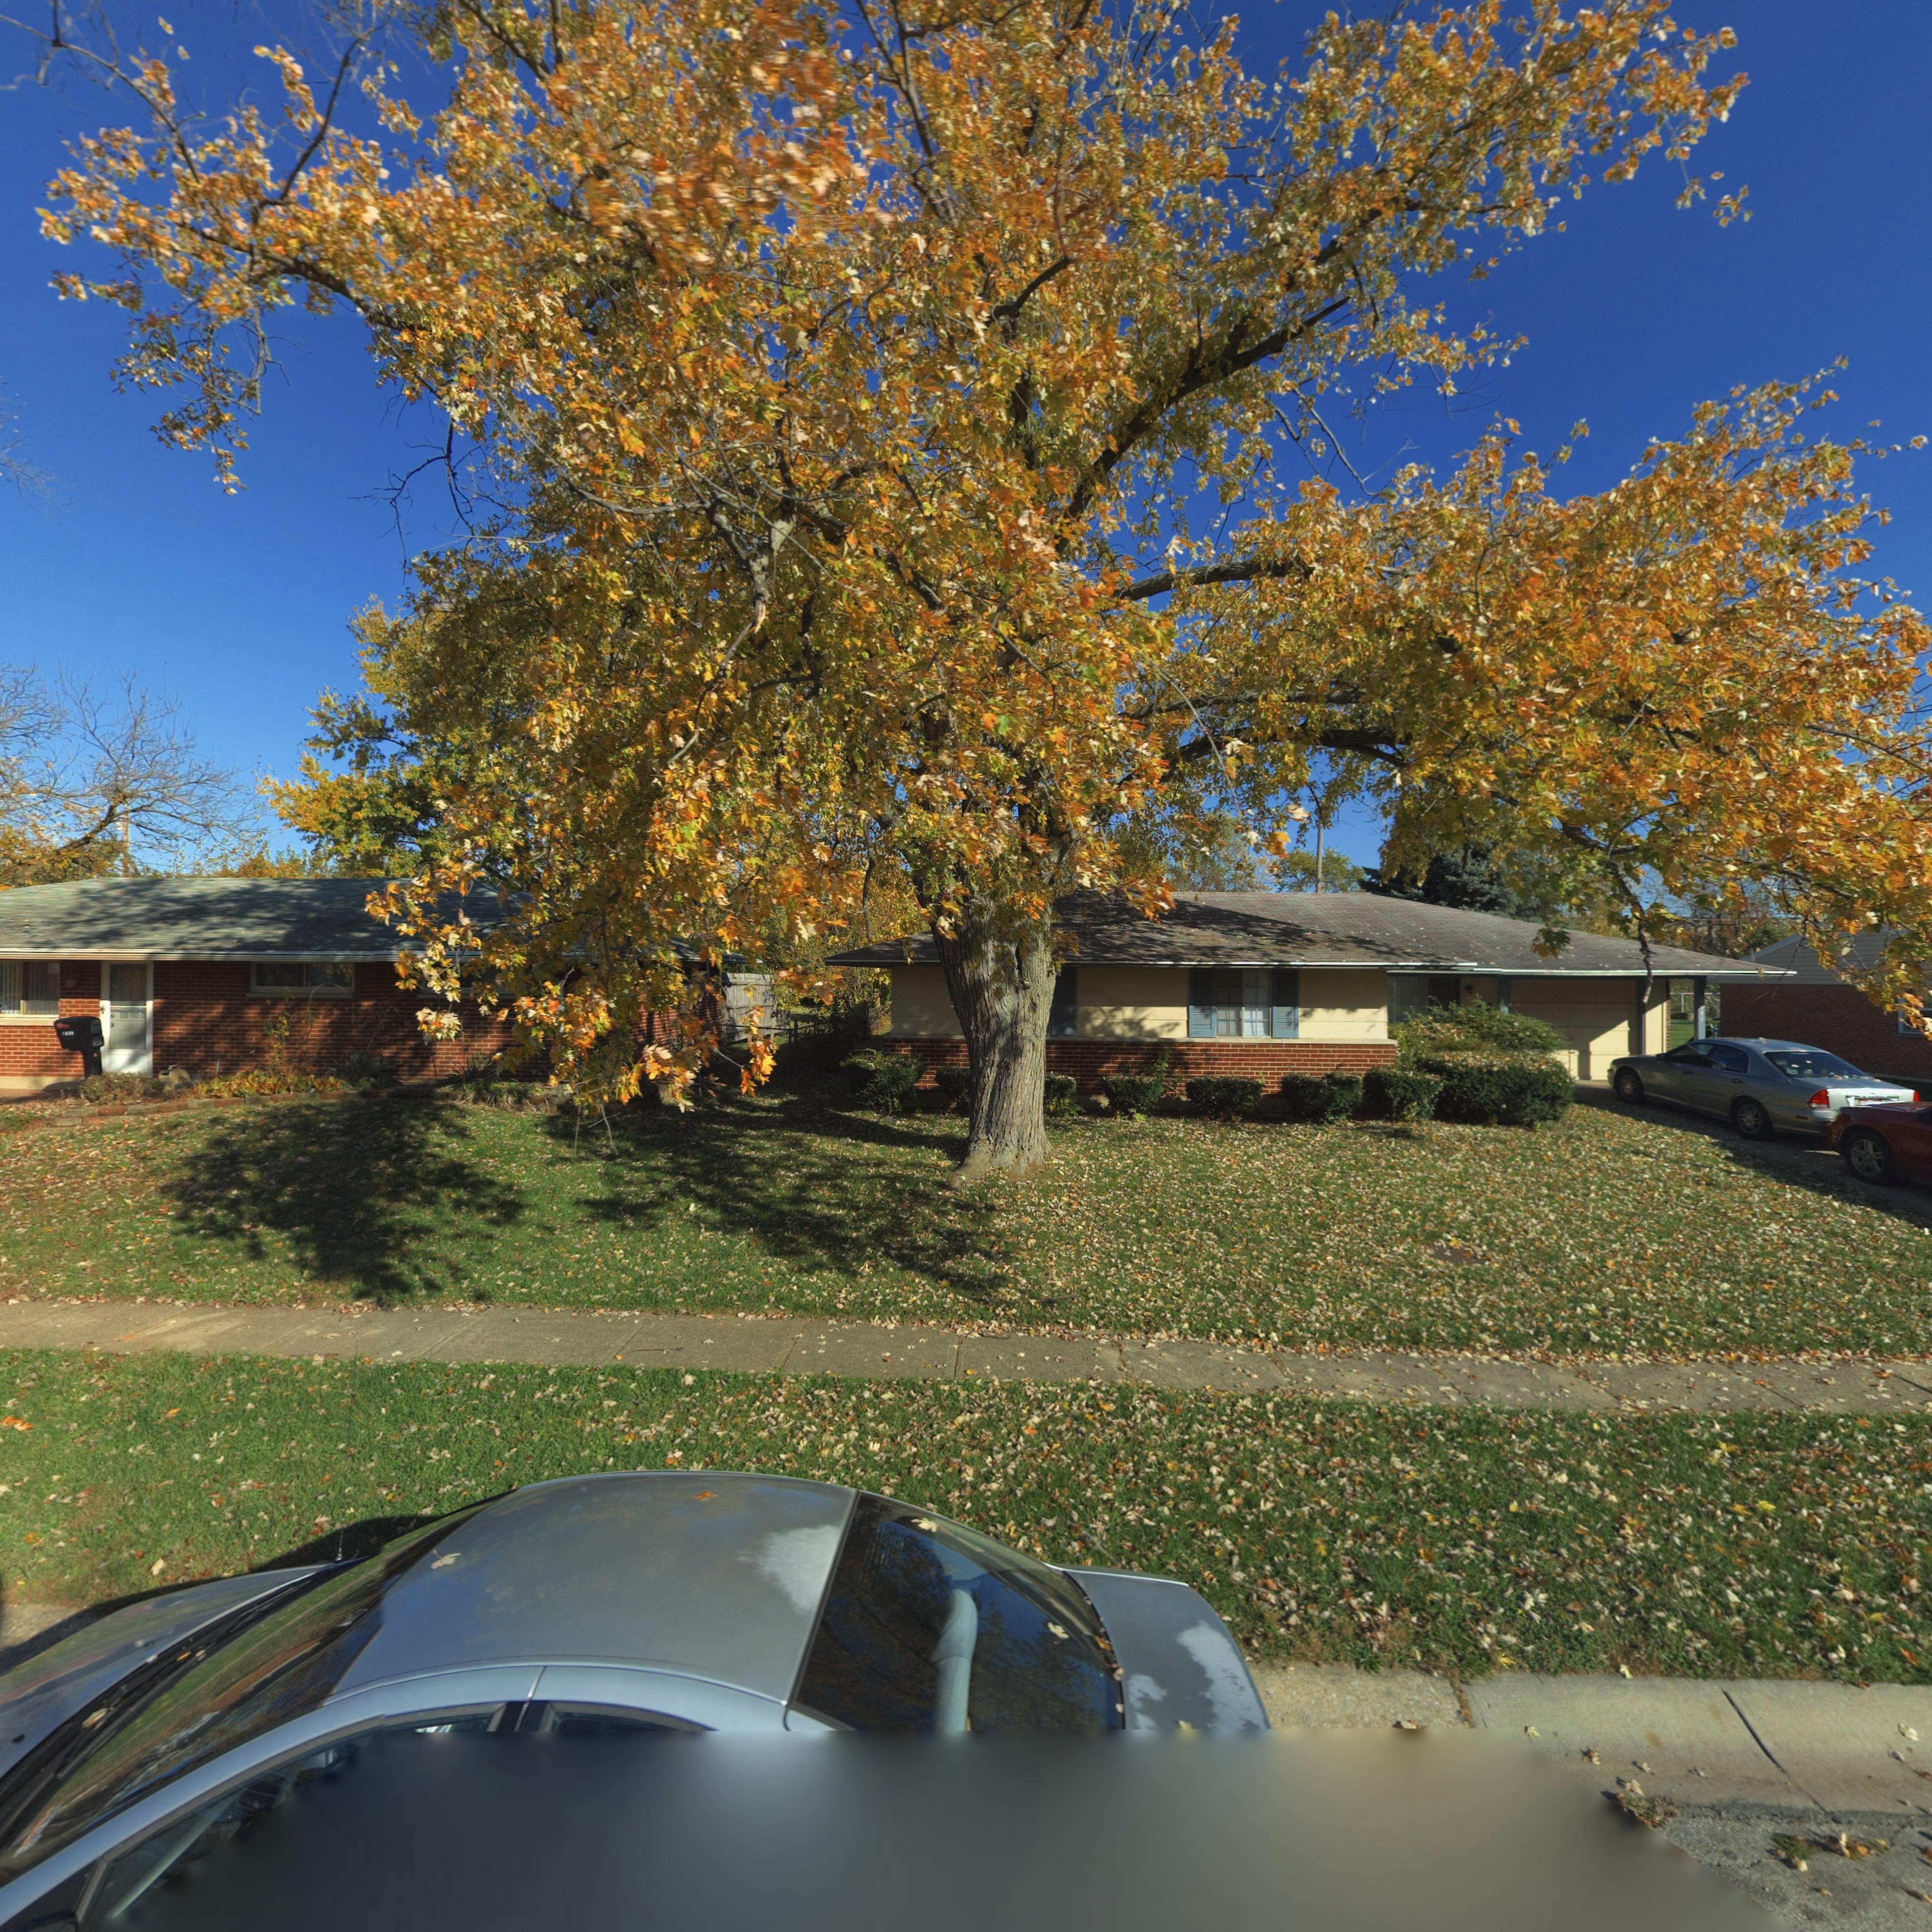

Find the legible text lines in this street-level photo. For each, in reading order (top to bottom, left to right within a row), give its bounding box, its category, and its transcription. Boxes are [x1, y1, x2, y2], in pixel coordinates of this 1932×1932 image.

[60, 1030, 75, 1036] StreetNumber: 79**